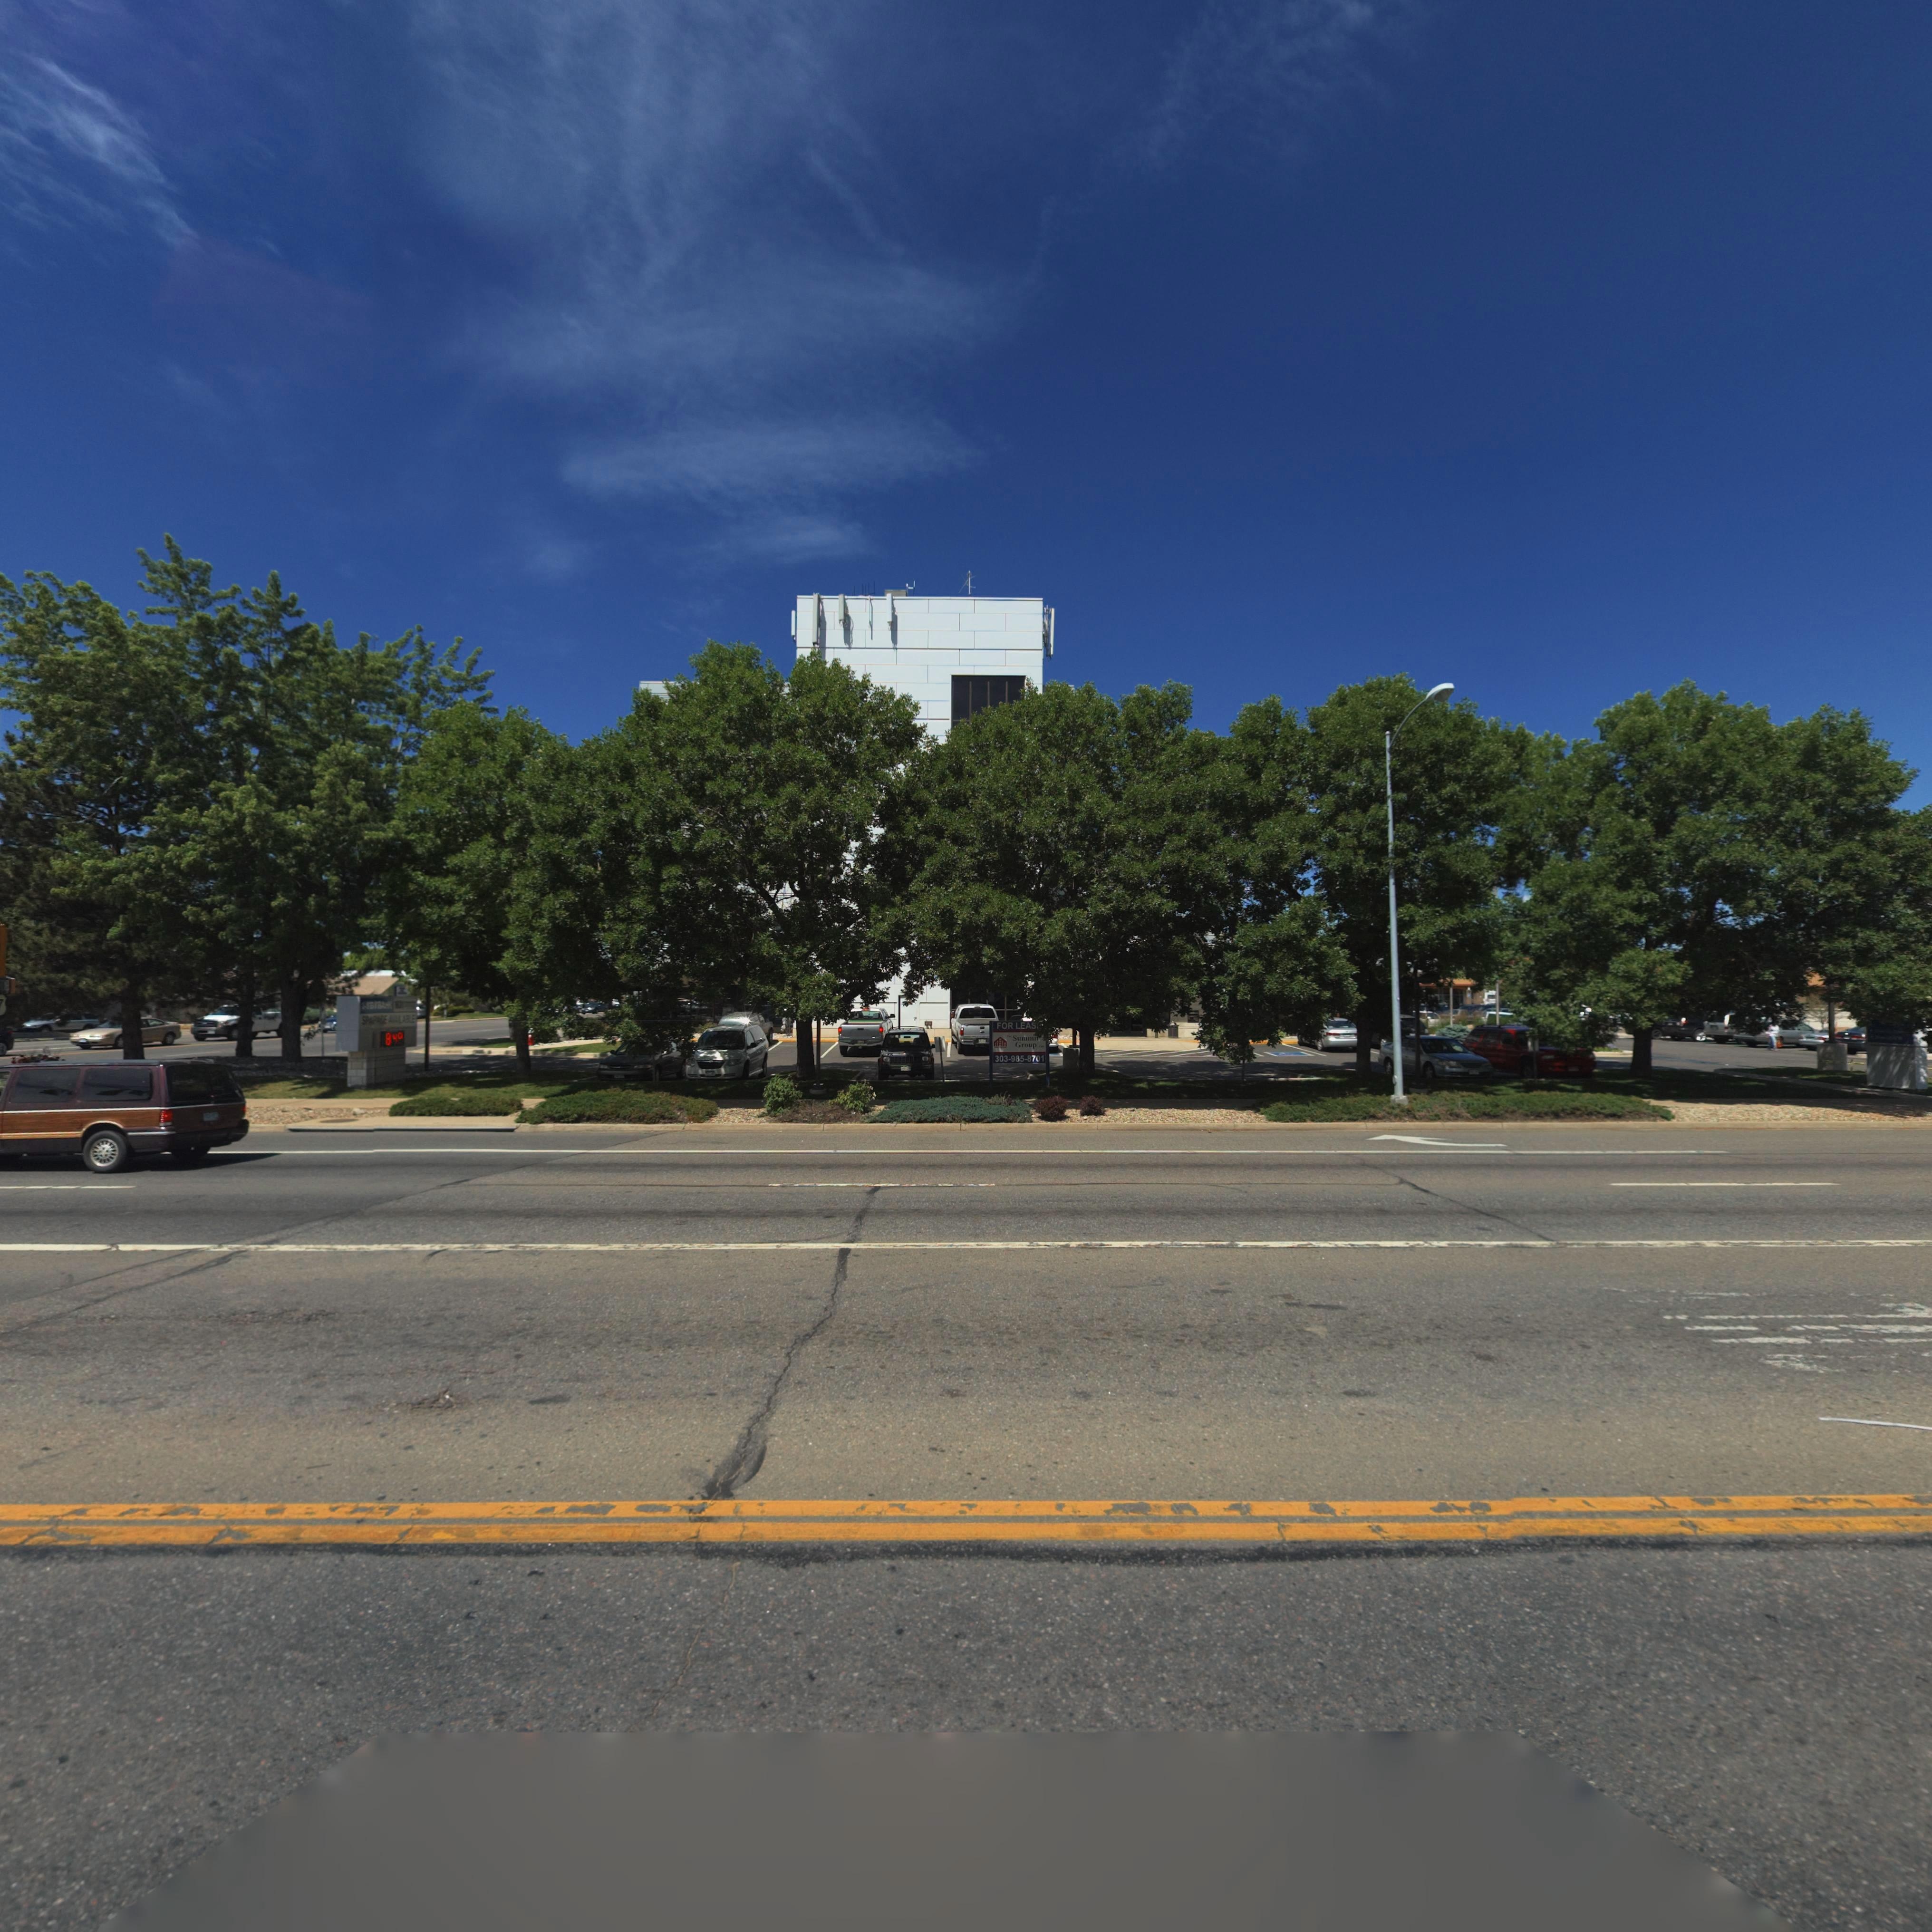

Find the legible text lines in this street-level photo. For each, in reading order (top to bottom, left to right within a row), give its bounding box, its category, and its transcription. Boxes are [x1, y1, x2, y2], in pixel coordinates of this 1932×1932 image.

[360, 1000, 393, 1010] BusinessName: *S*B**BA**